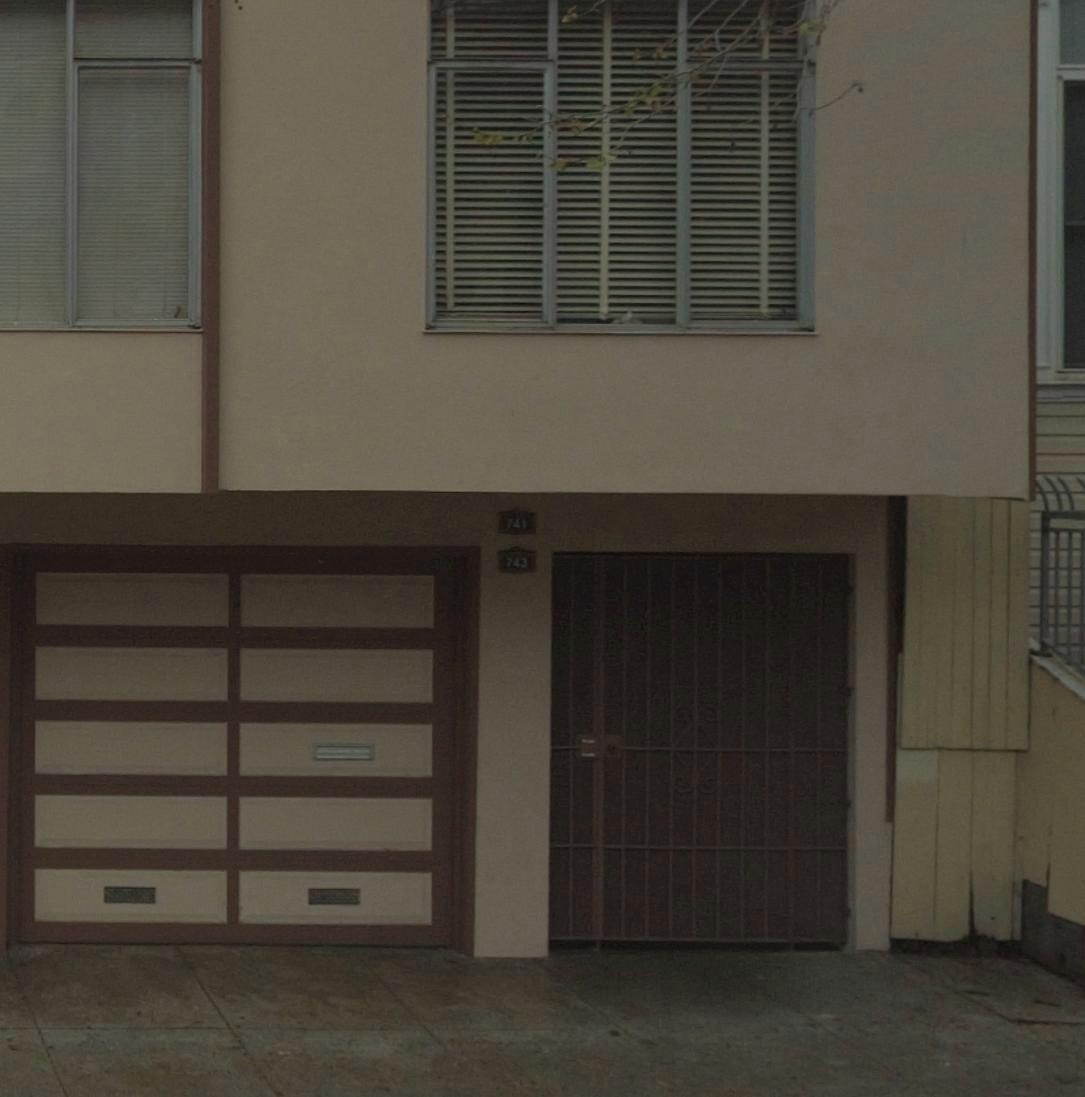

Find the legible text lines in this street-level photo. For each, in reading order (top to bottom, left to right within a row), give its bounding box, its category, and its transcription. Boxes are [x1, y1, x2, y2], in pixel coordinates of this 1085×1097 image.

[505, 517, 528, 531] StreetNumber: 741
[504, 557, 528, 568] StreetNumber: 743